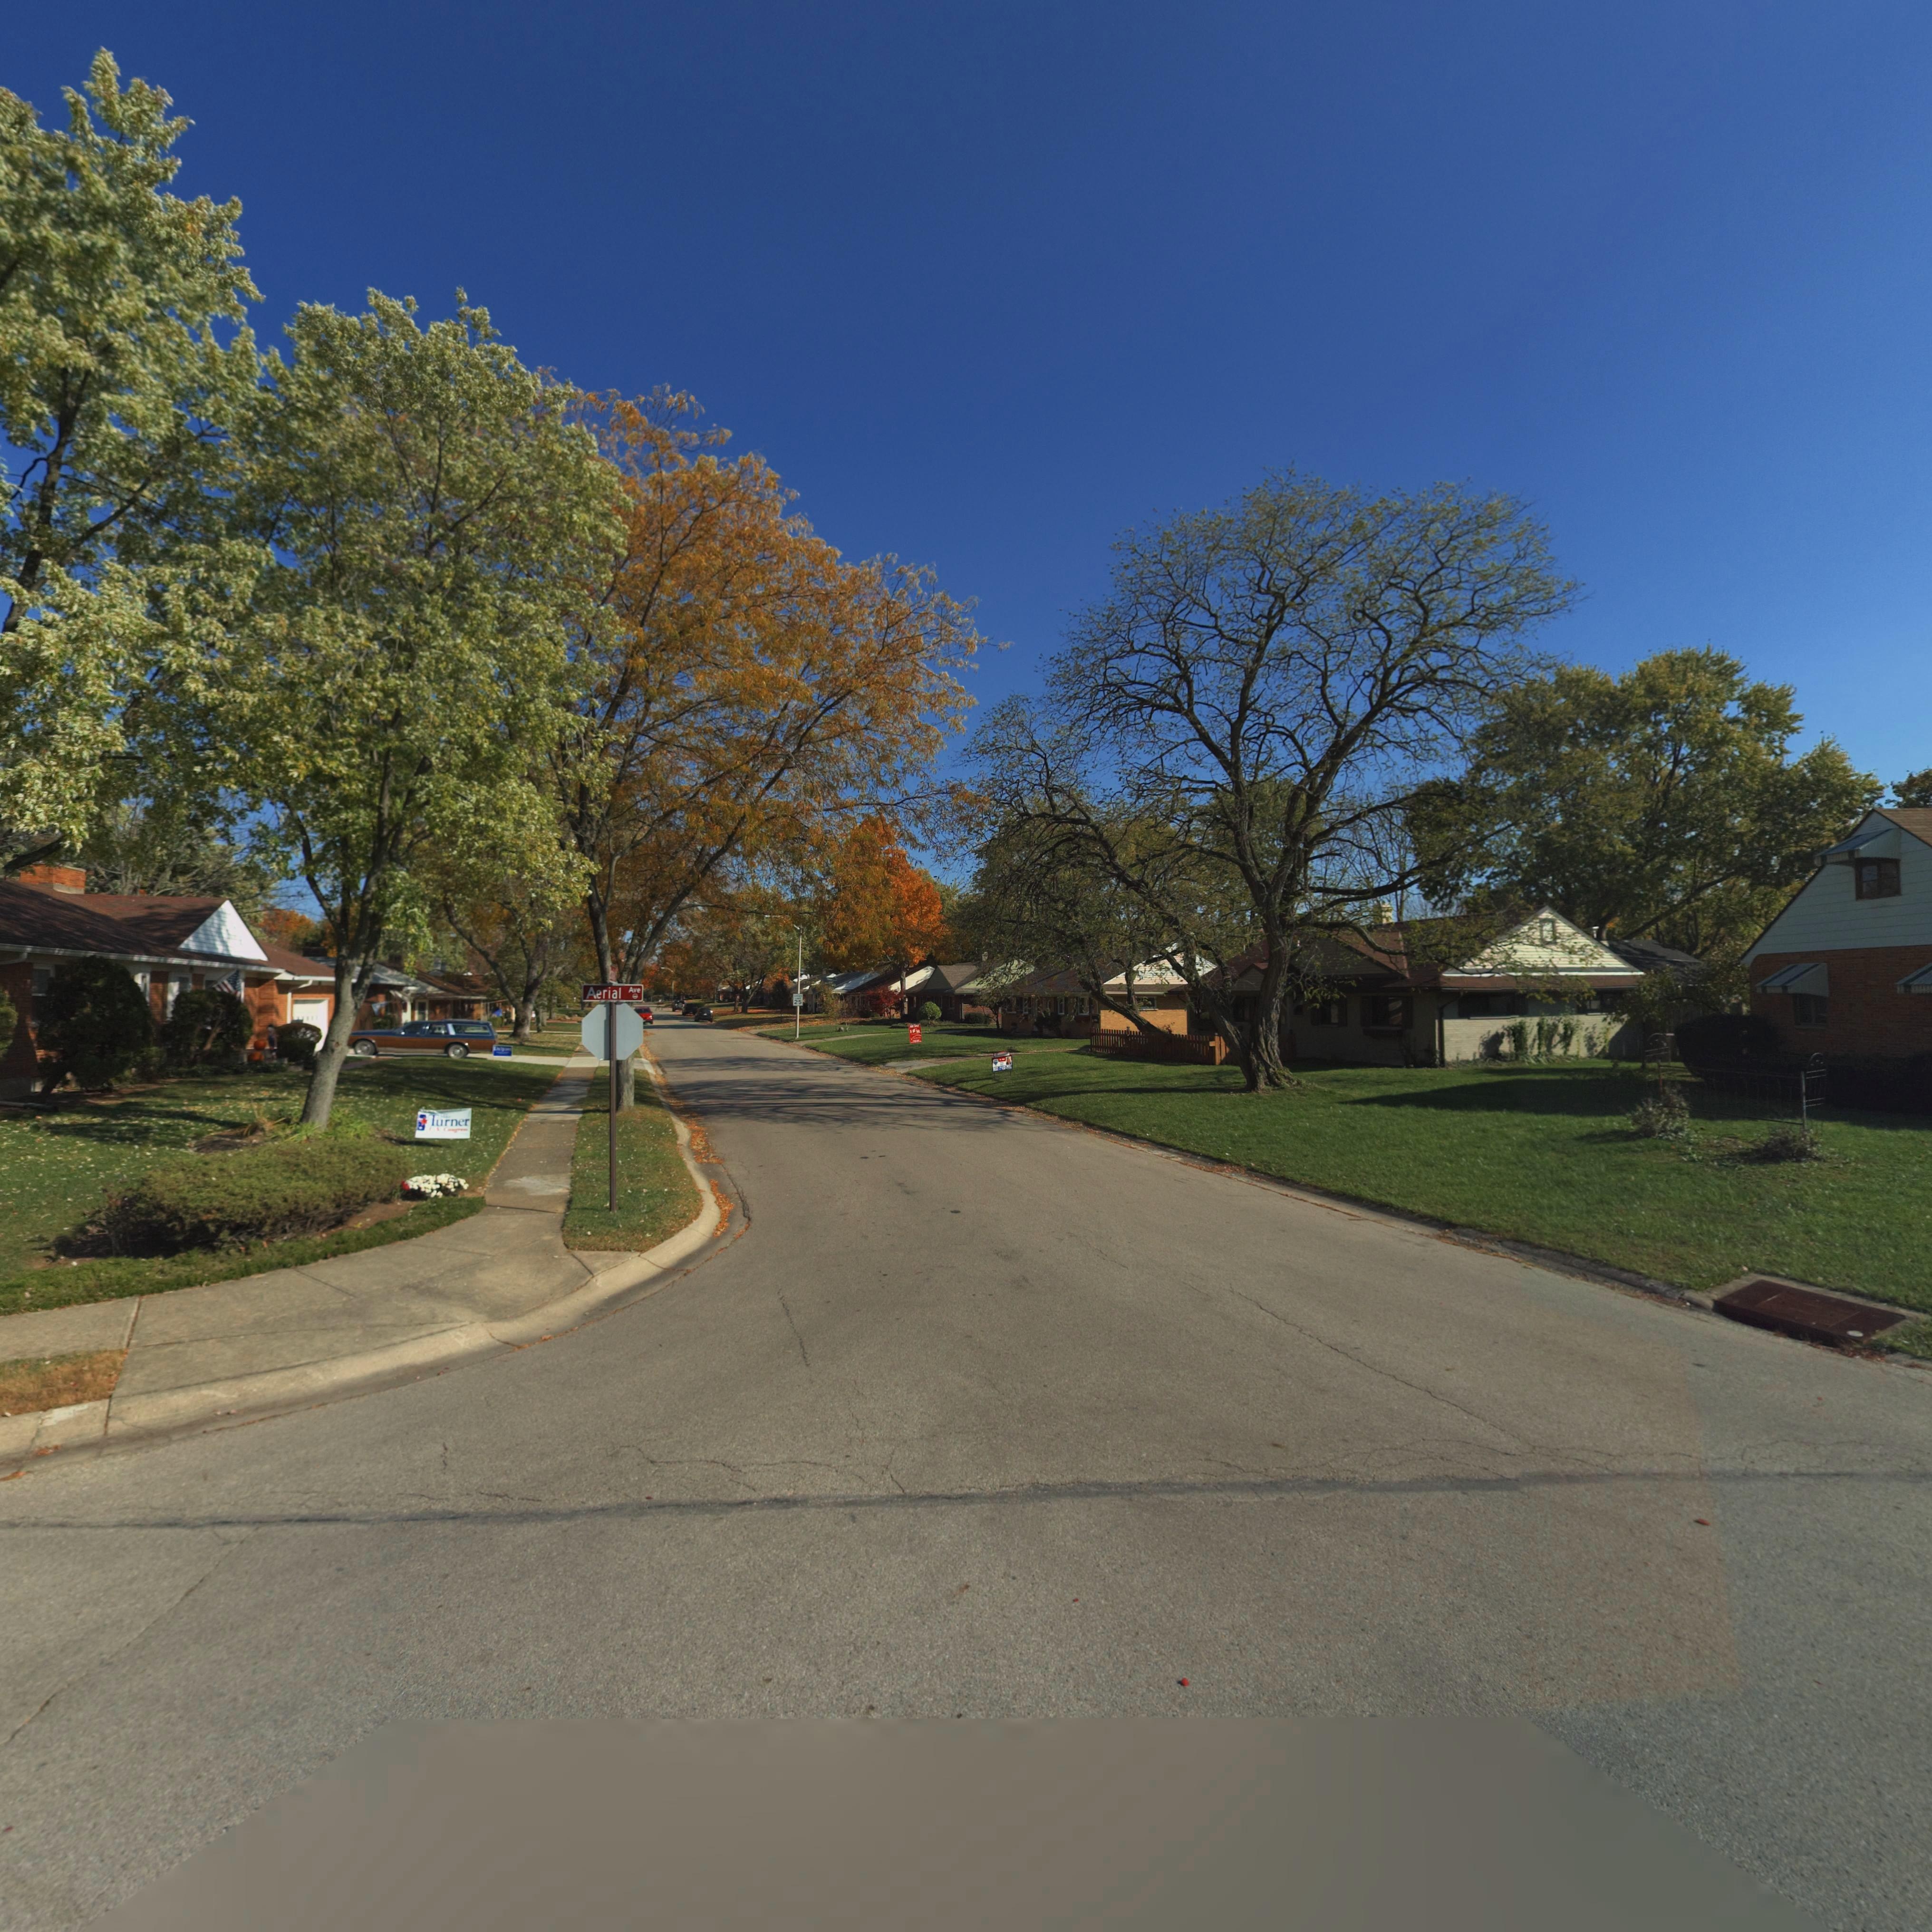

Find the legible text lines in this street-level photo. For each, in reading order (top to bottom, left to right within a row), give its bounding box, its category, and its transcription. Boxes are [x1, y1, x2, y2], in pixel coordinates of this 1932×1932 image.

[585, 986, 641, 999] StreetName: Aerial Ave
[794, 999, 802, 1005] None: 25
[909, 1028, 921, 1034] None: HFR
[428, 1113, 471, 1127] None: Turner